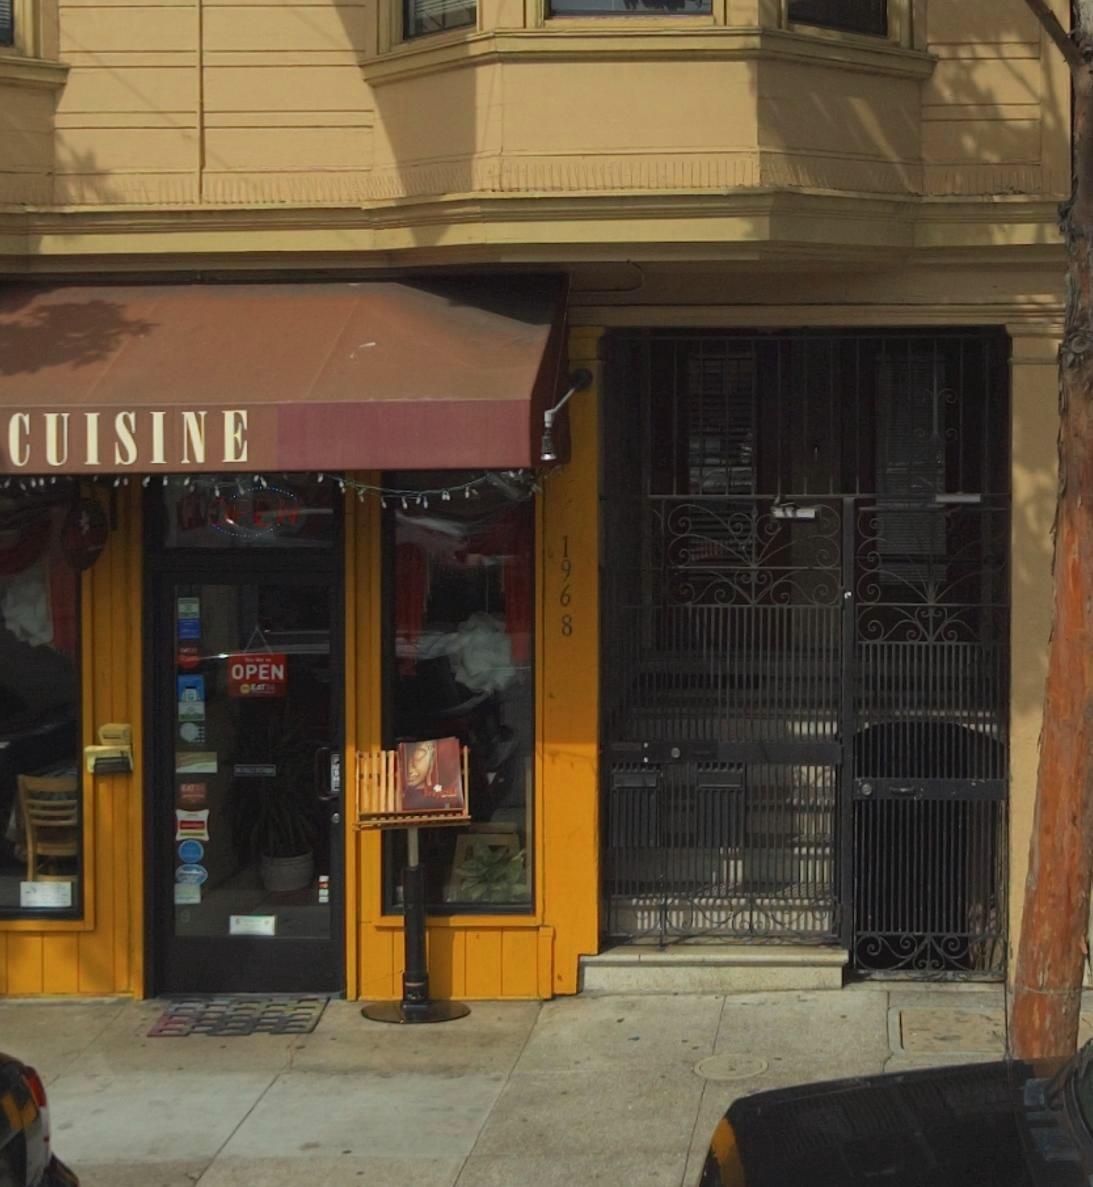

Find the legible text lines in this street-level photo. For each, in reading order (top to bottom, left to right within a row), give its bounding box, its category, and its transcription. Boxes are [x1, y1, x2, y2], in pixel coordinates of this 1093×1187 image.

[7, 409, 248, 467] BusinessName: CUISINE
[207, 498, 299, 527] None: OPEN
[560, 534, 573, 637] StreetNumber: 1968
[231, 664, 285, 680] None: OPEN
[330, 752, 339, 787] None: PUSH